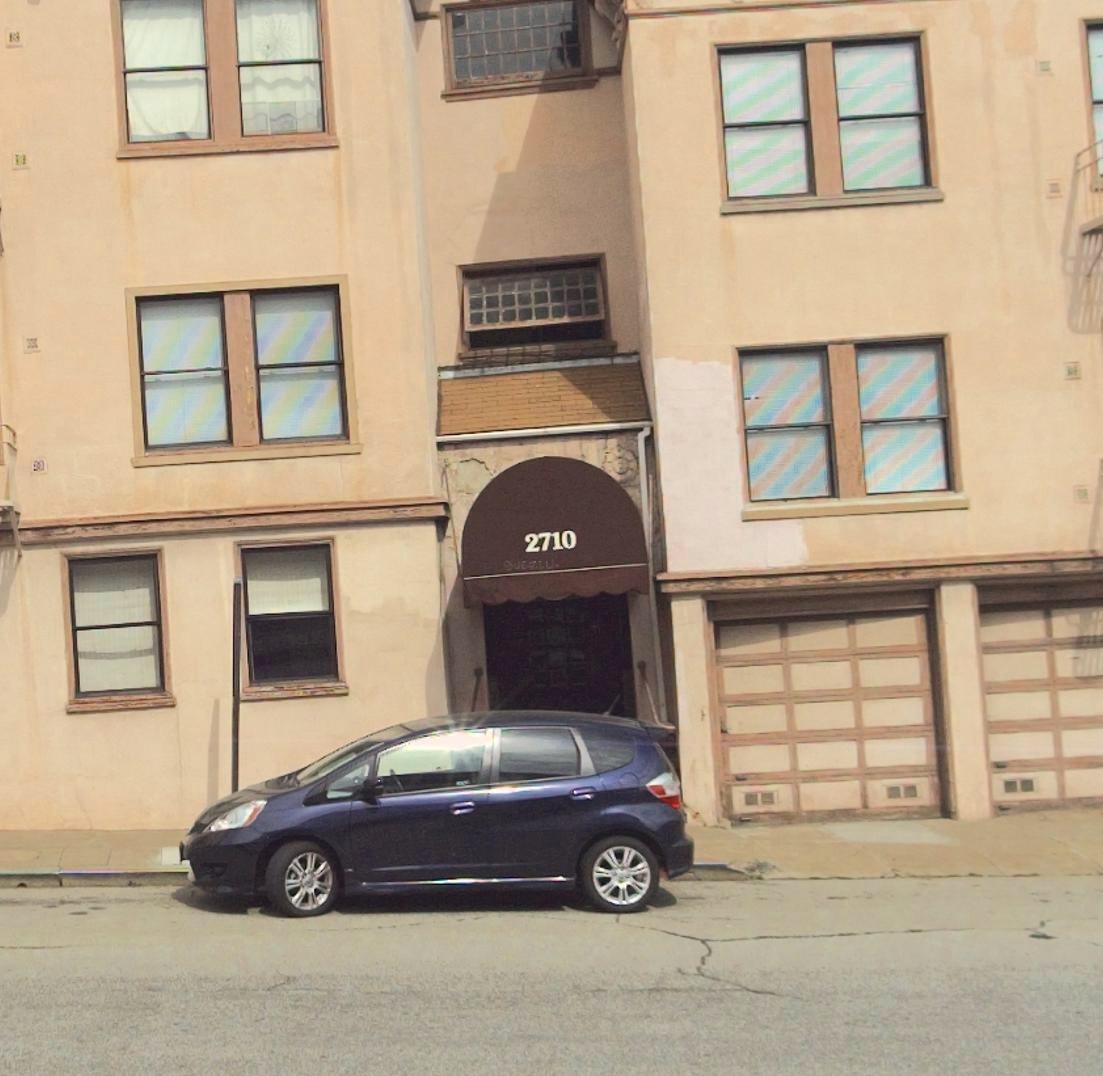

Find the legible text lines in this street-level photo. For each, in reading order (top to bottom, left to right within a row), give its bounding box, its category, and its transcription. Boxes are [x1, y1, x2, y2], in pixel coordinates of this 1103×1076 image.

[521, 527, 581, 556] StreetNumber: 2710